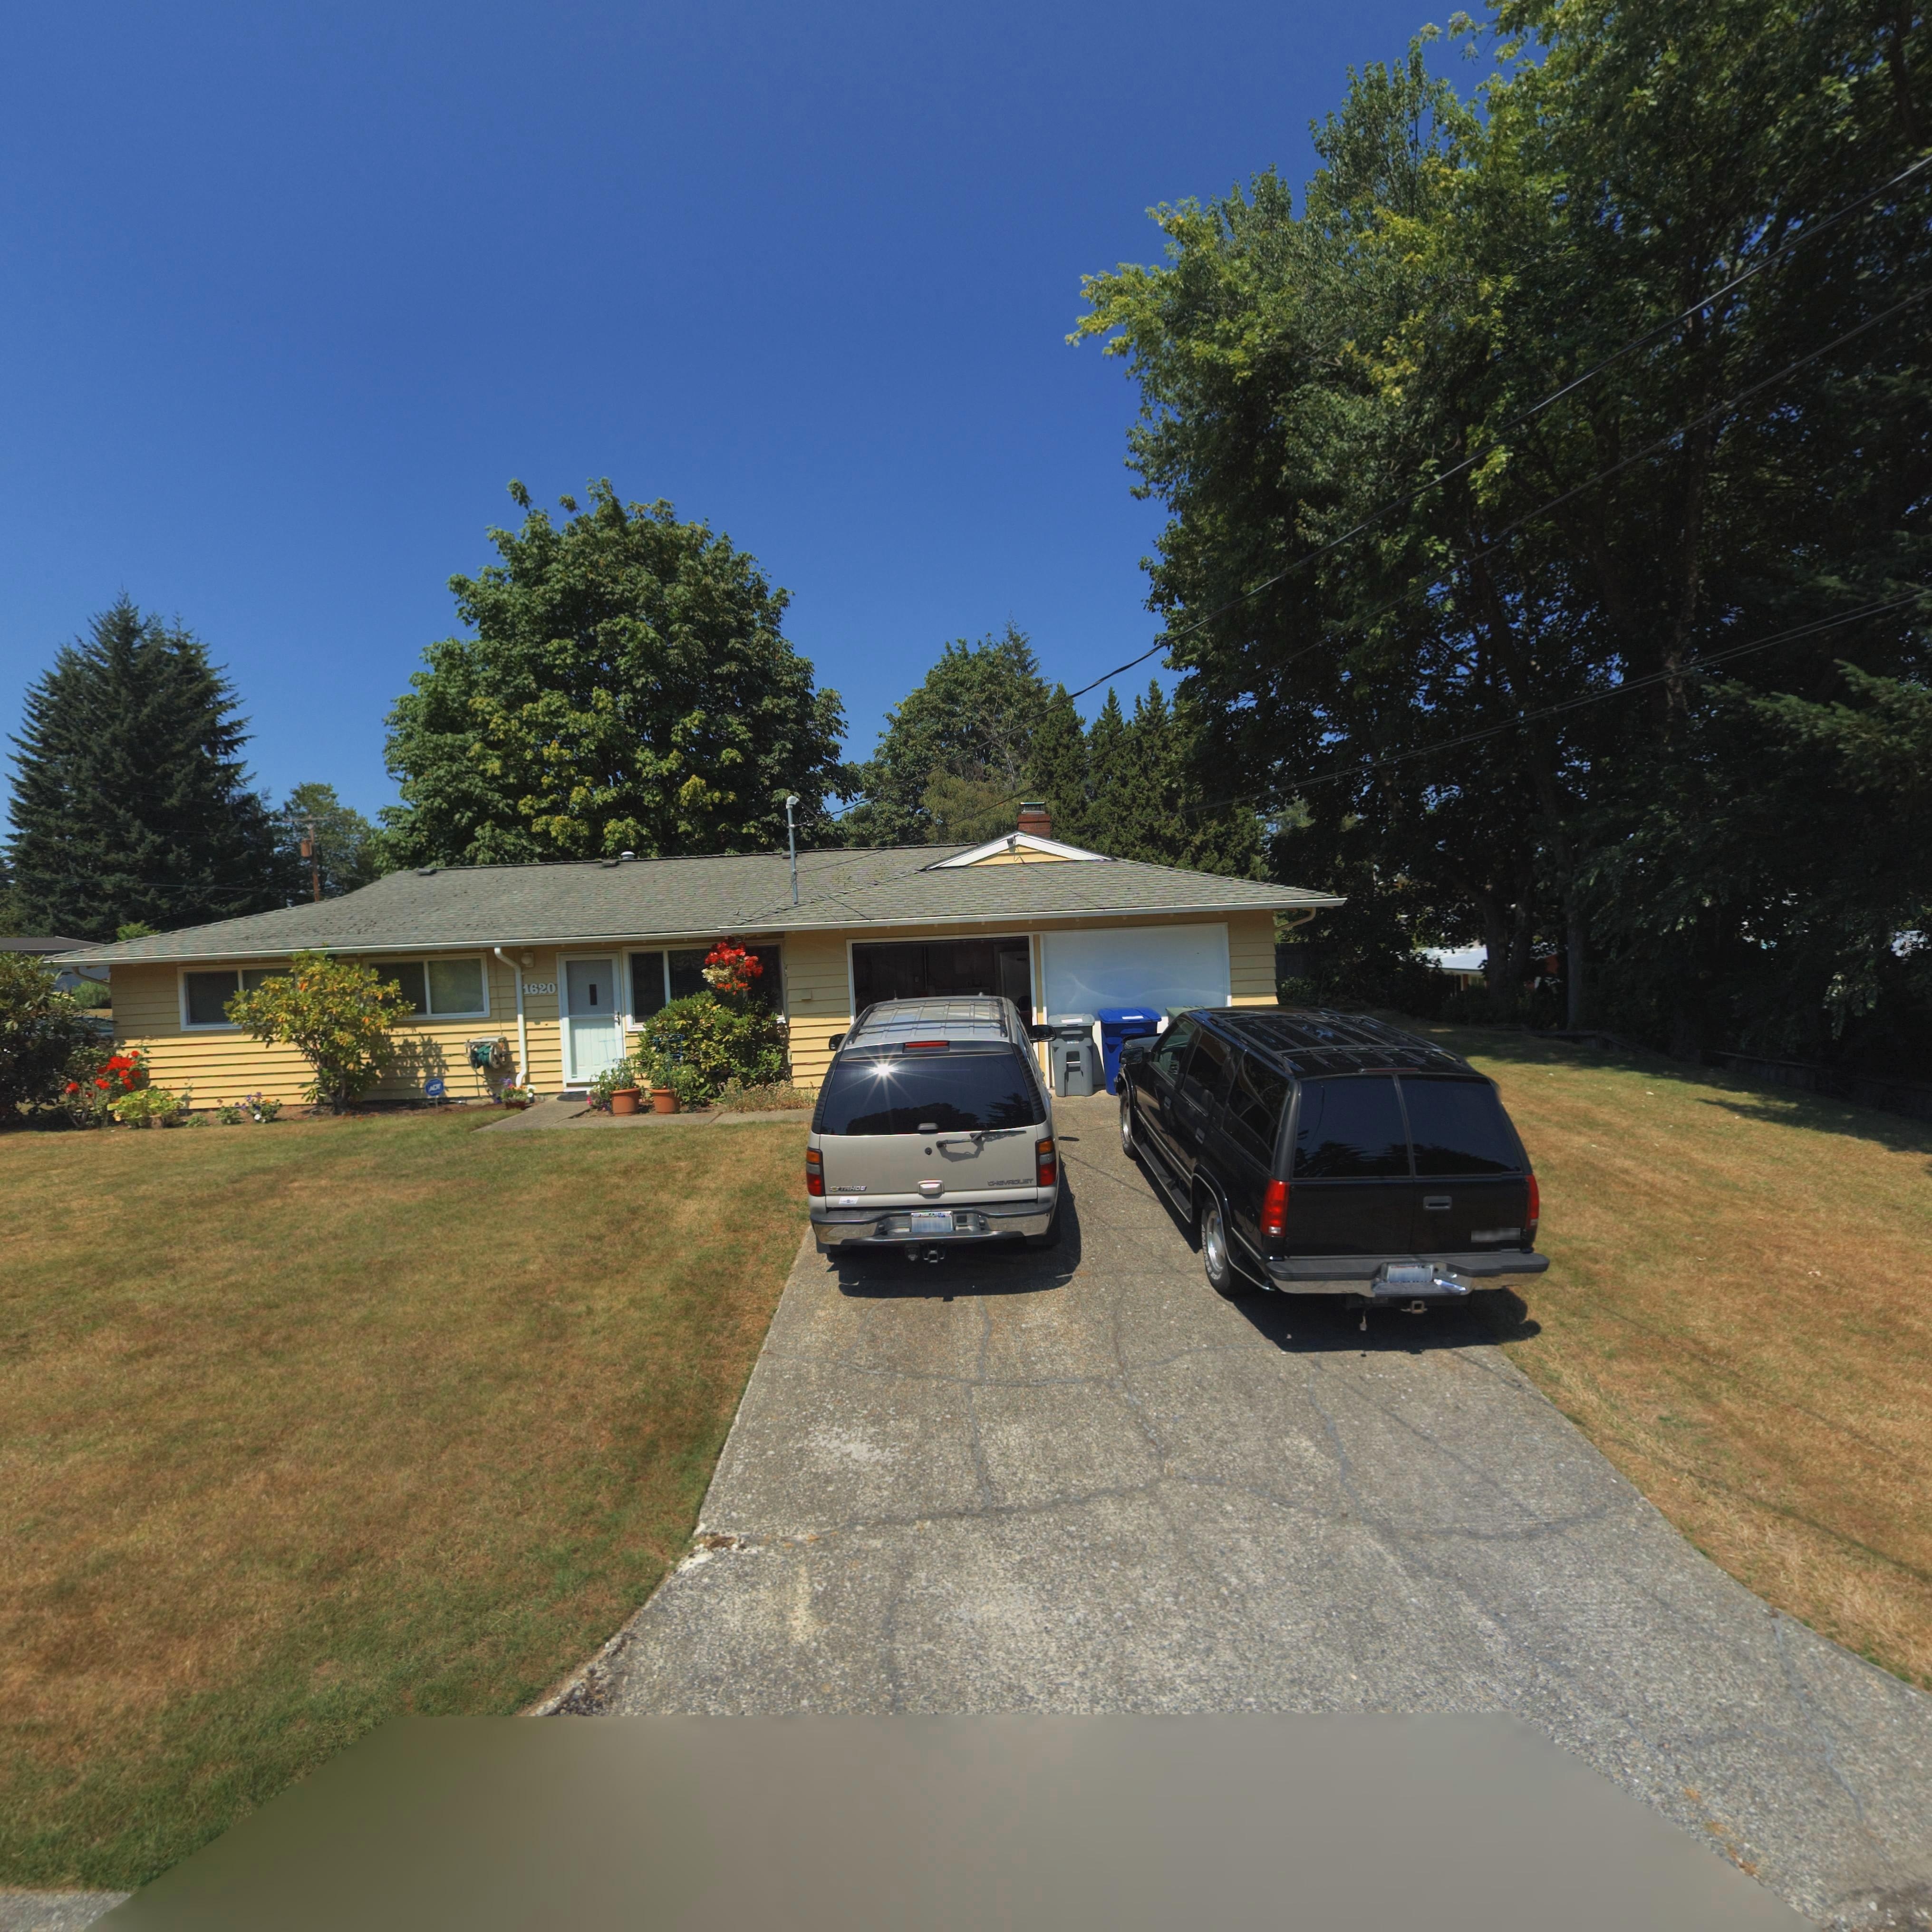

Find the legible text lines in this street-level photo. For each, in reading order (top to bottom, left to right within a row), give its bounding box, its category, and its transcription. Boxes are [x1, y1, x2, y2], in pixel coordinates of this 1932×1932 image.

[522, 981, 556, 995] StreetNumber: 1620